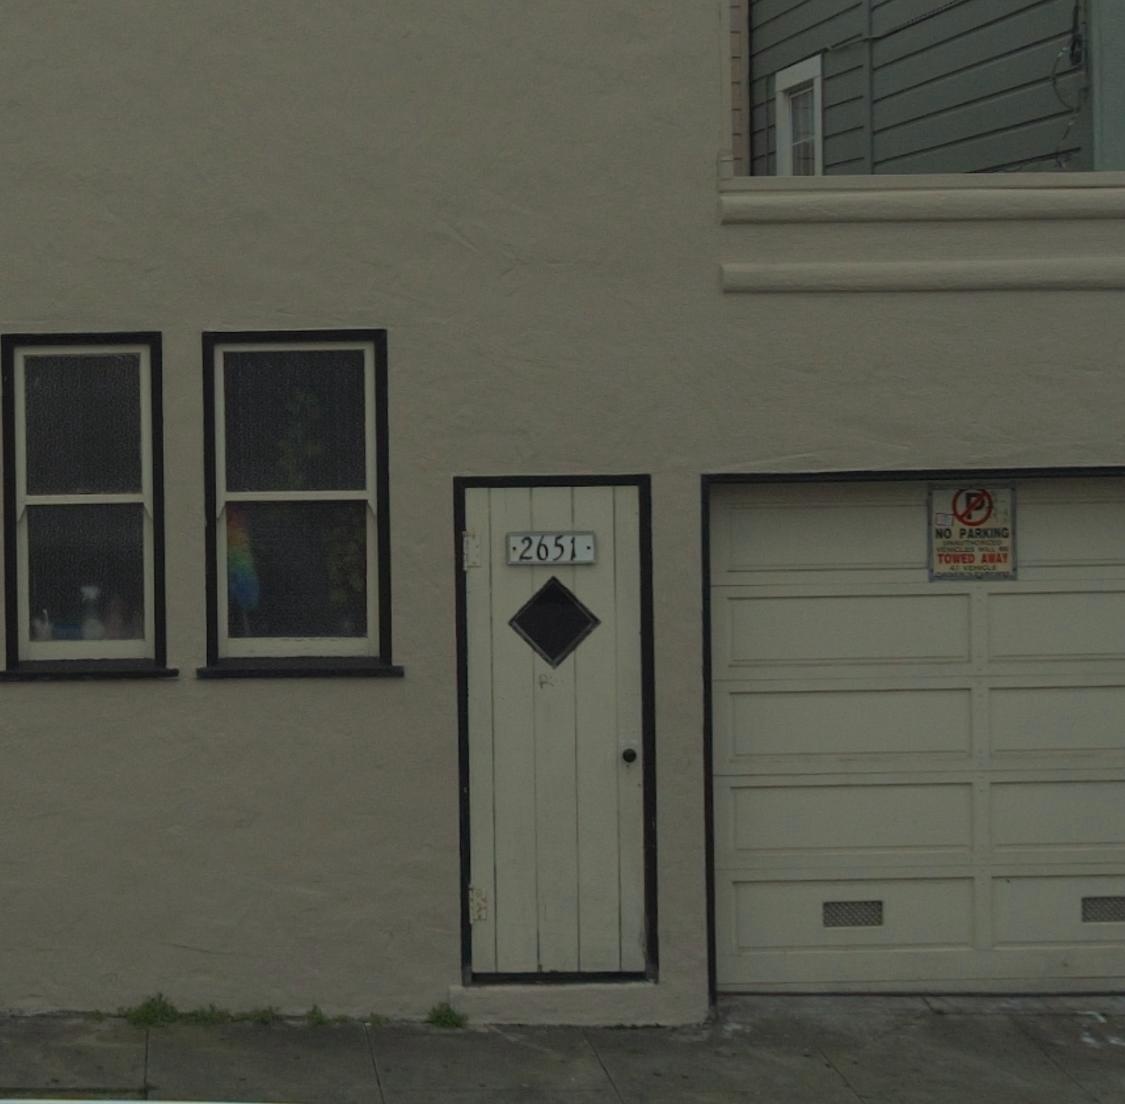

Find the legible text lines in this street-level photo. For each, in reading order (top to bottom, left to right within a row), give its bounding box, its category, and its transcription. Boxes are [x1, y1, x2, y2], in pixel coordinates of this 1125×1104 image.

[933, 526, 1010, 540] None: NO PARKING
[517, 534, 580, 564] StreetNumber: 2651
[935, 552, 1011, 564] None: TOWED AWAY